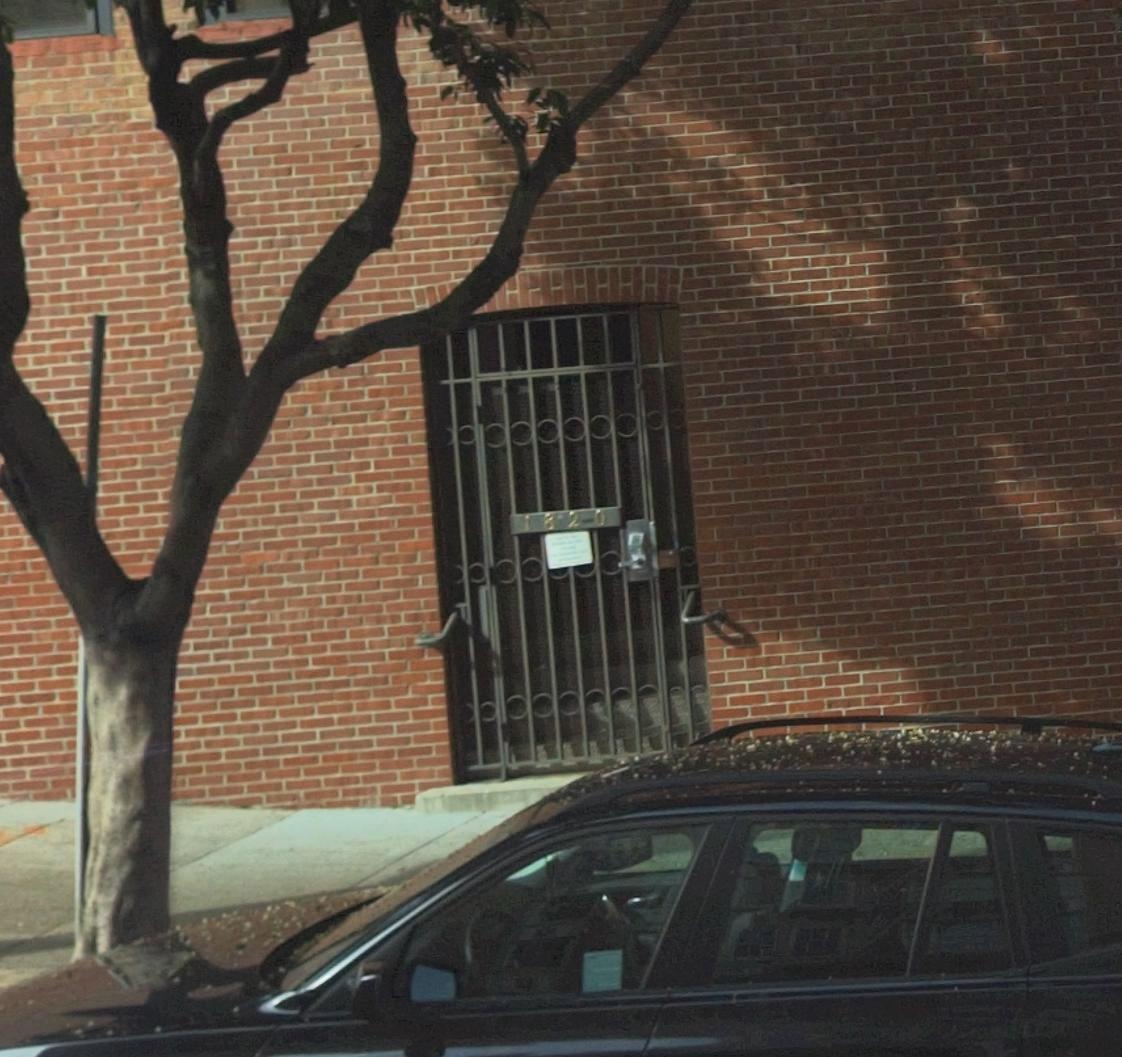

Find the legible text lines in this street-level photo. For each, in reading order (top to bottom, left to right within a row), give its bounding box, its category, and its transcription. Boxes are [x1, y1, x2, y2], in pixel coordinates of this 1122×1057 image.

[522, 506, 608, 535] StreetNumber: 1820